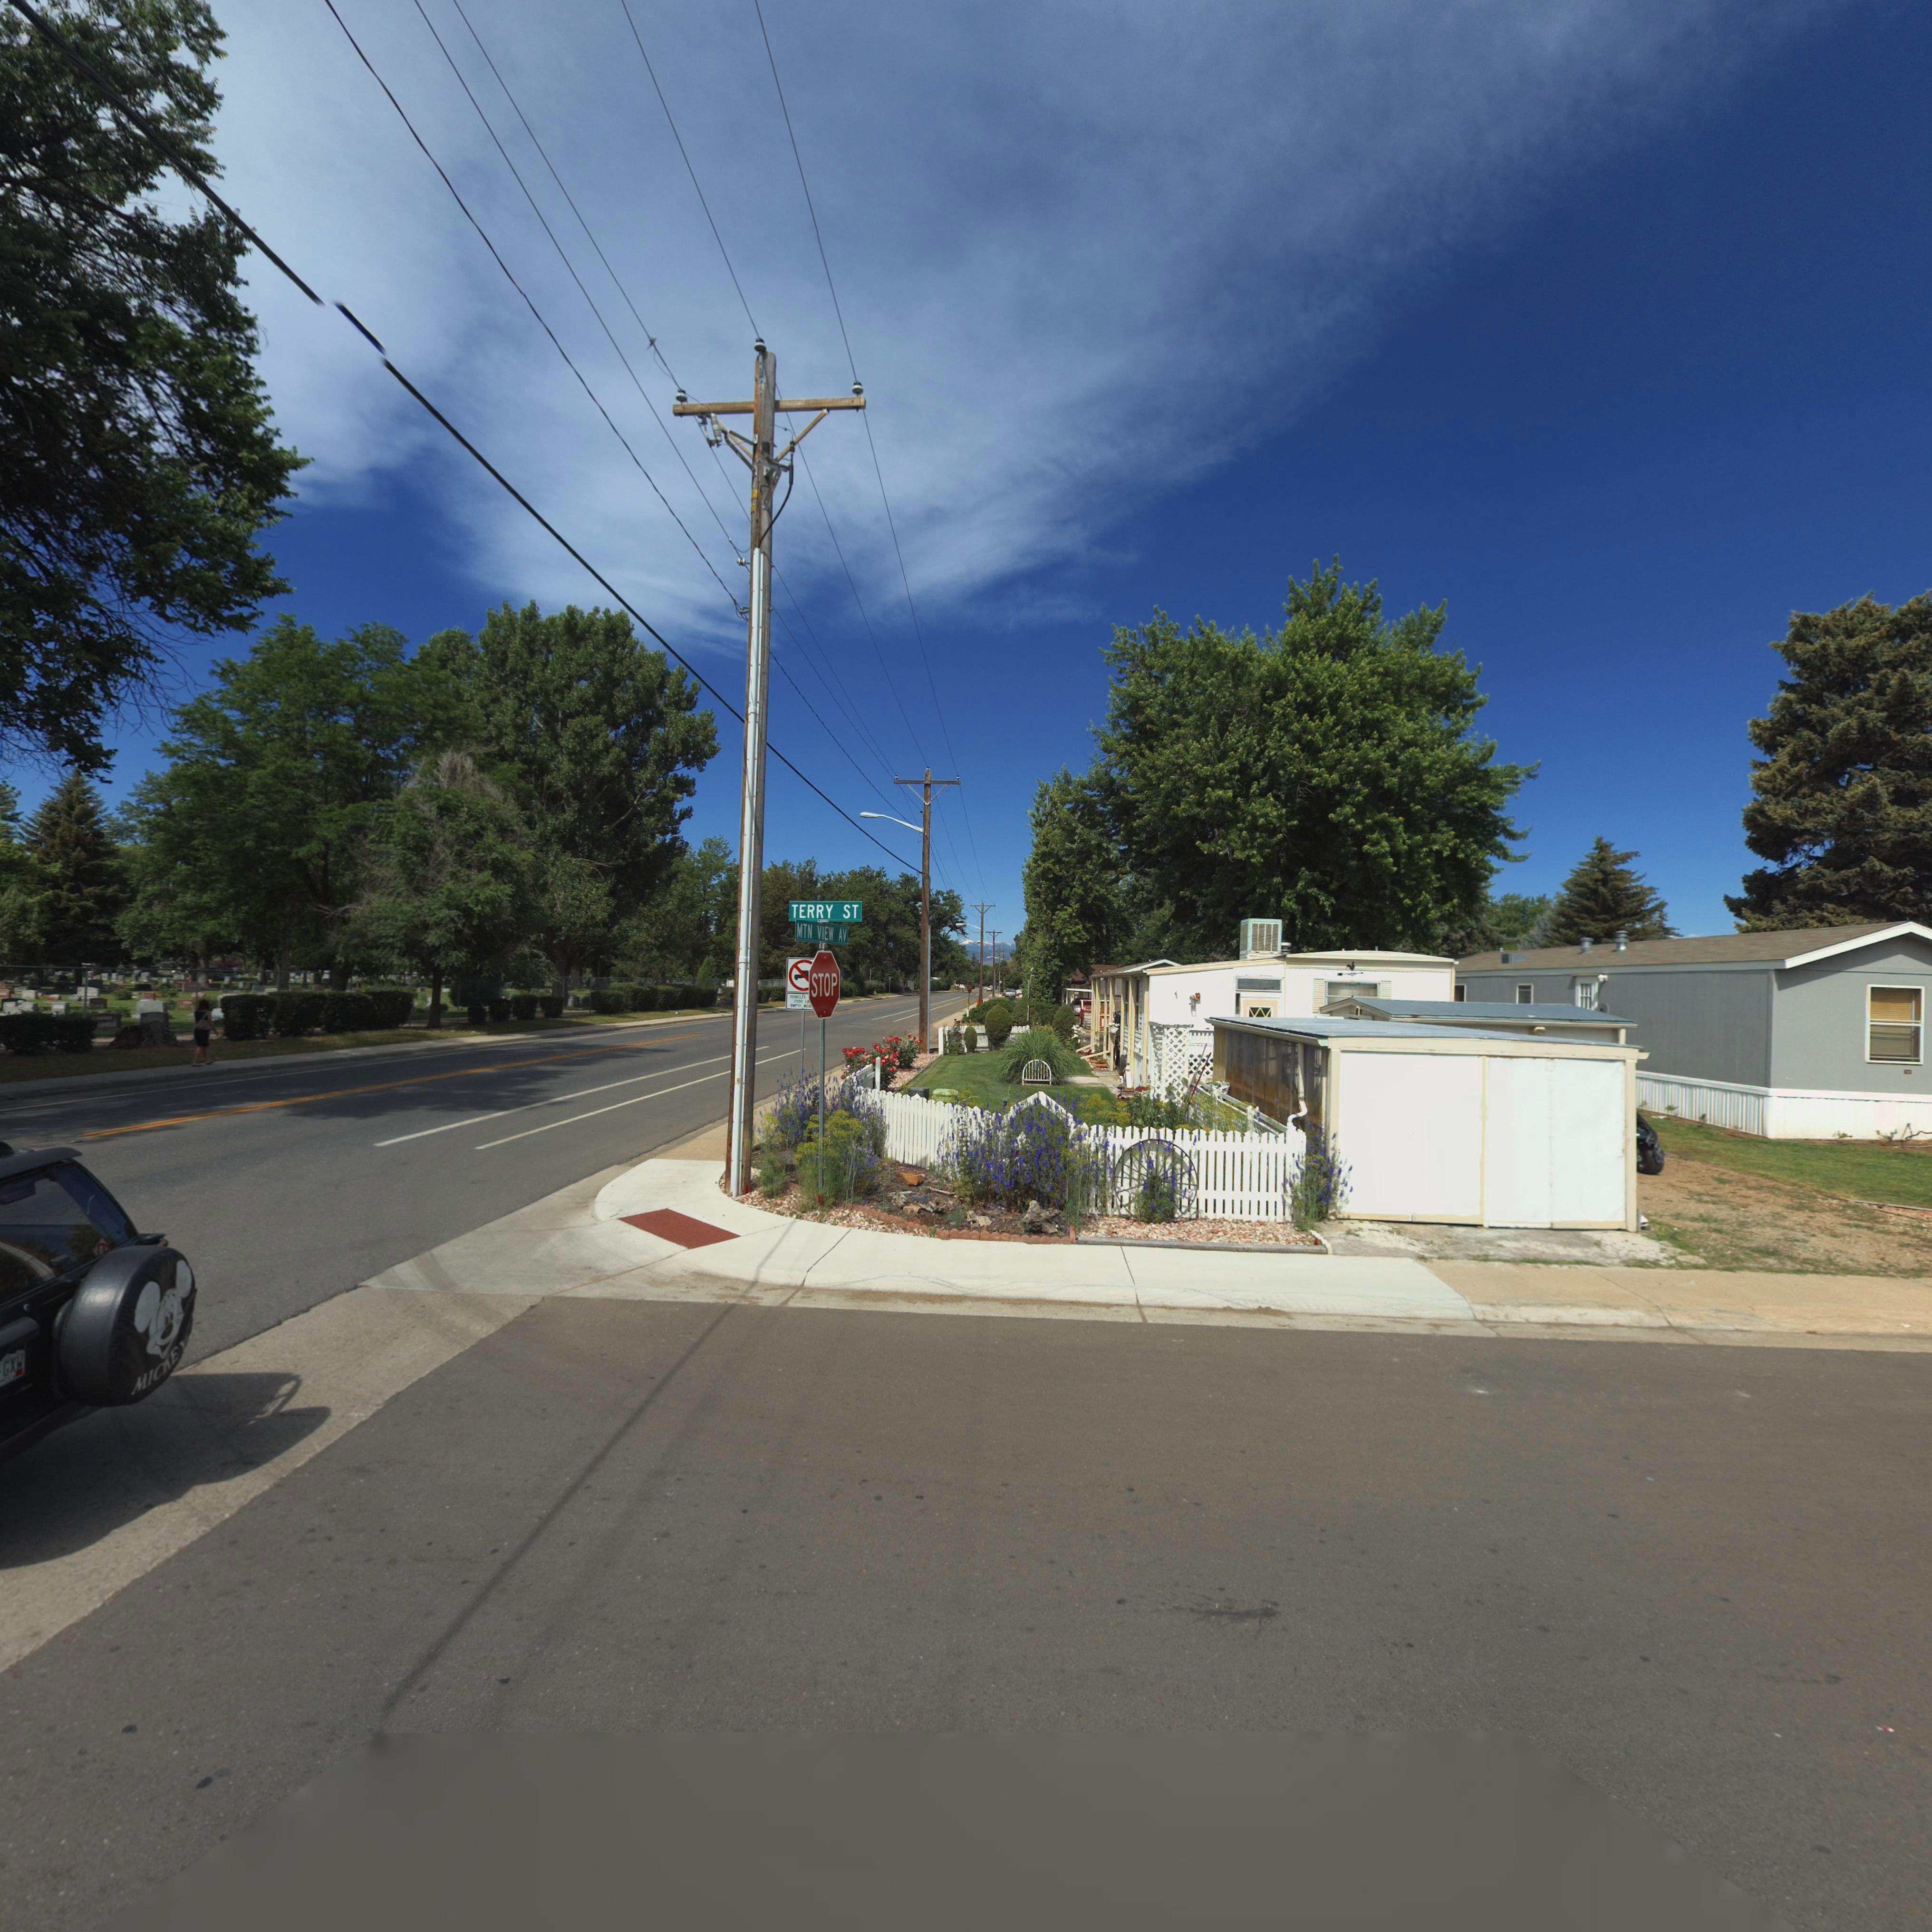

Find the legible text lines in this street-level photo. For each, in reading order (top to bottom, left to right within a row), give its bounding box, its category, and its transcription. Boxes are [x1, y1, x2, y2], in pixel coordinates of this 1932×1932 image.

[791, 904, 859, 919] StreetName: TERRY ST
[796, 922, 848, 943] StreetName: MTN VIEW AV